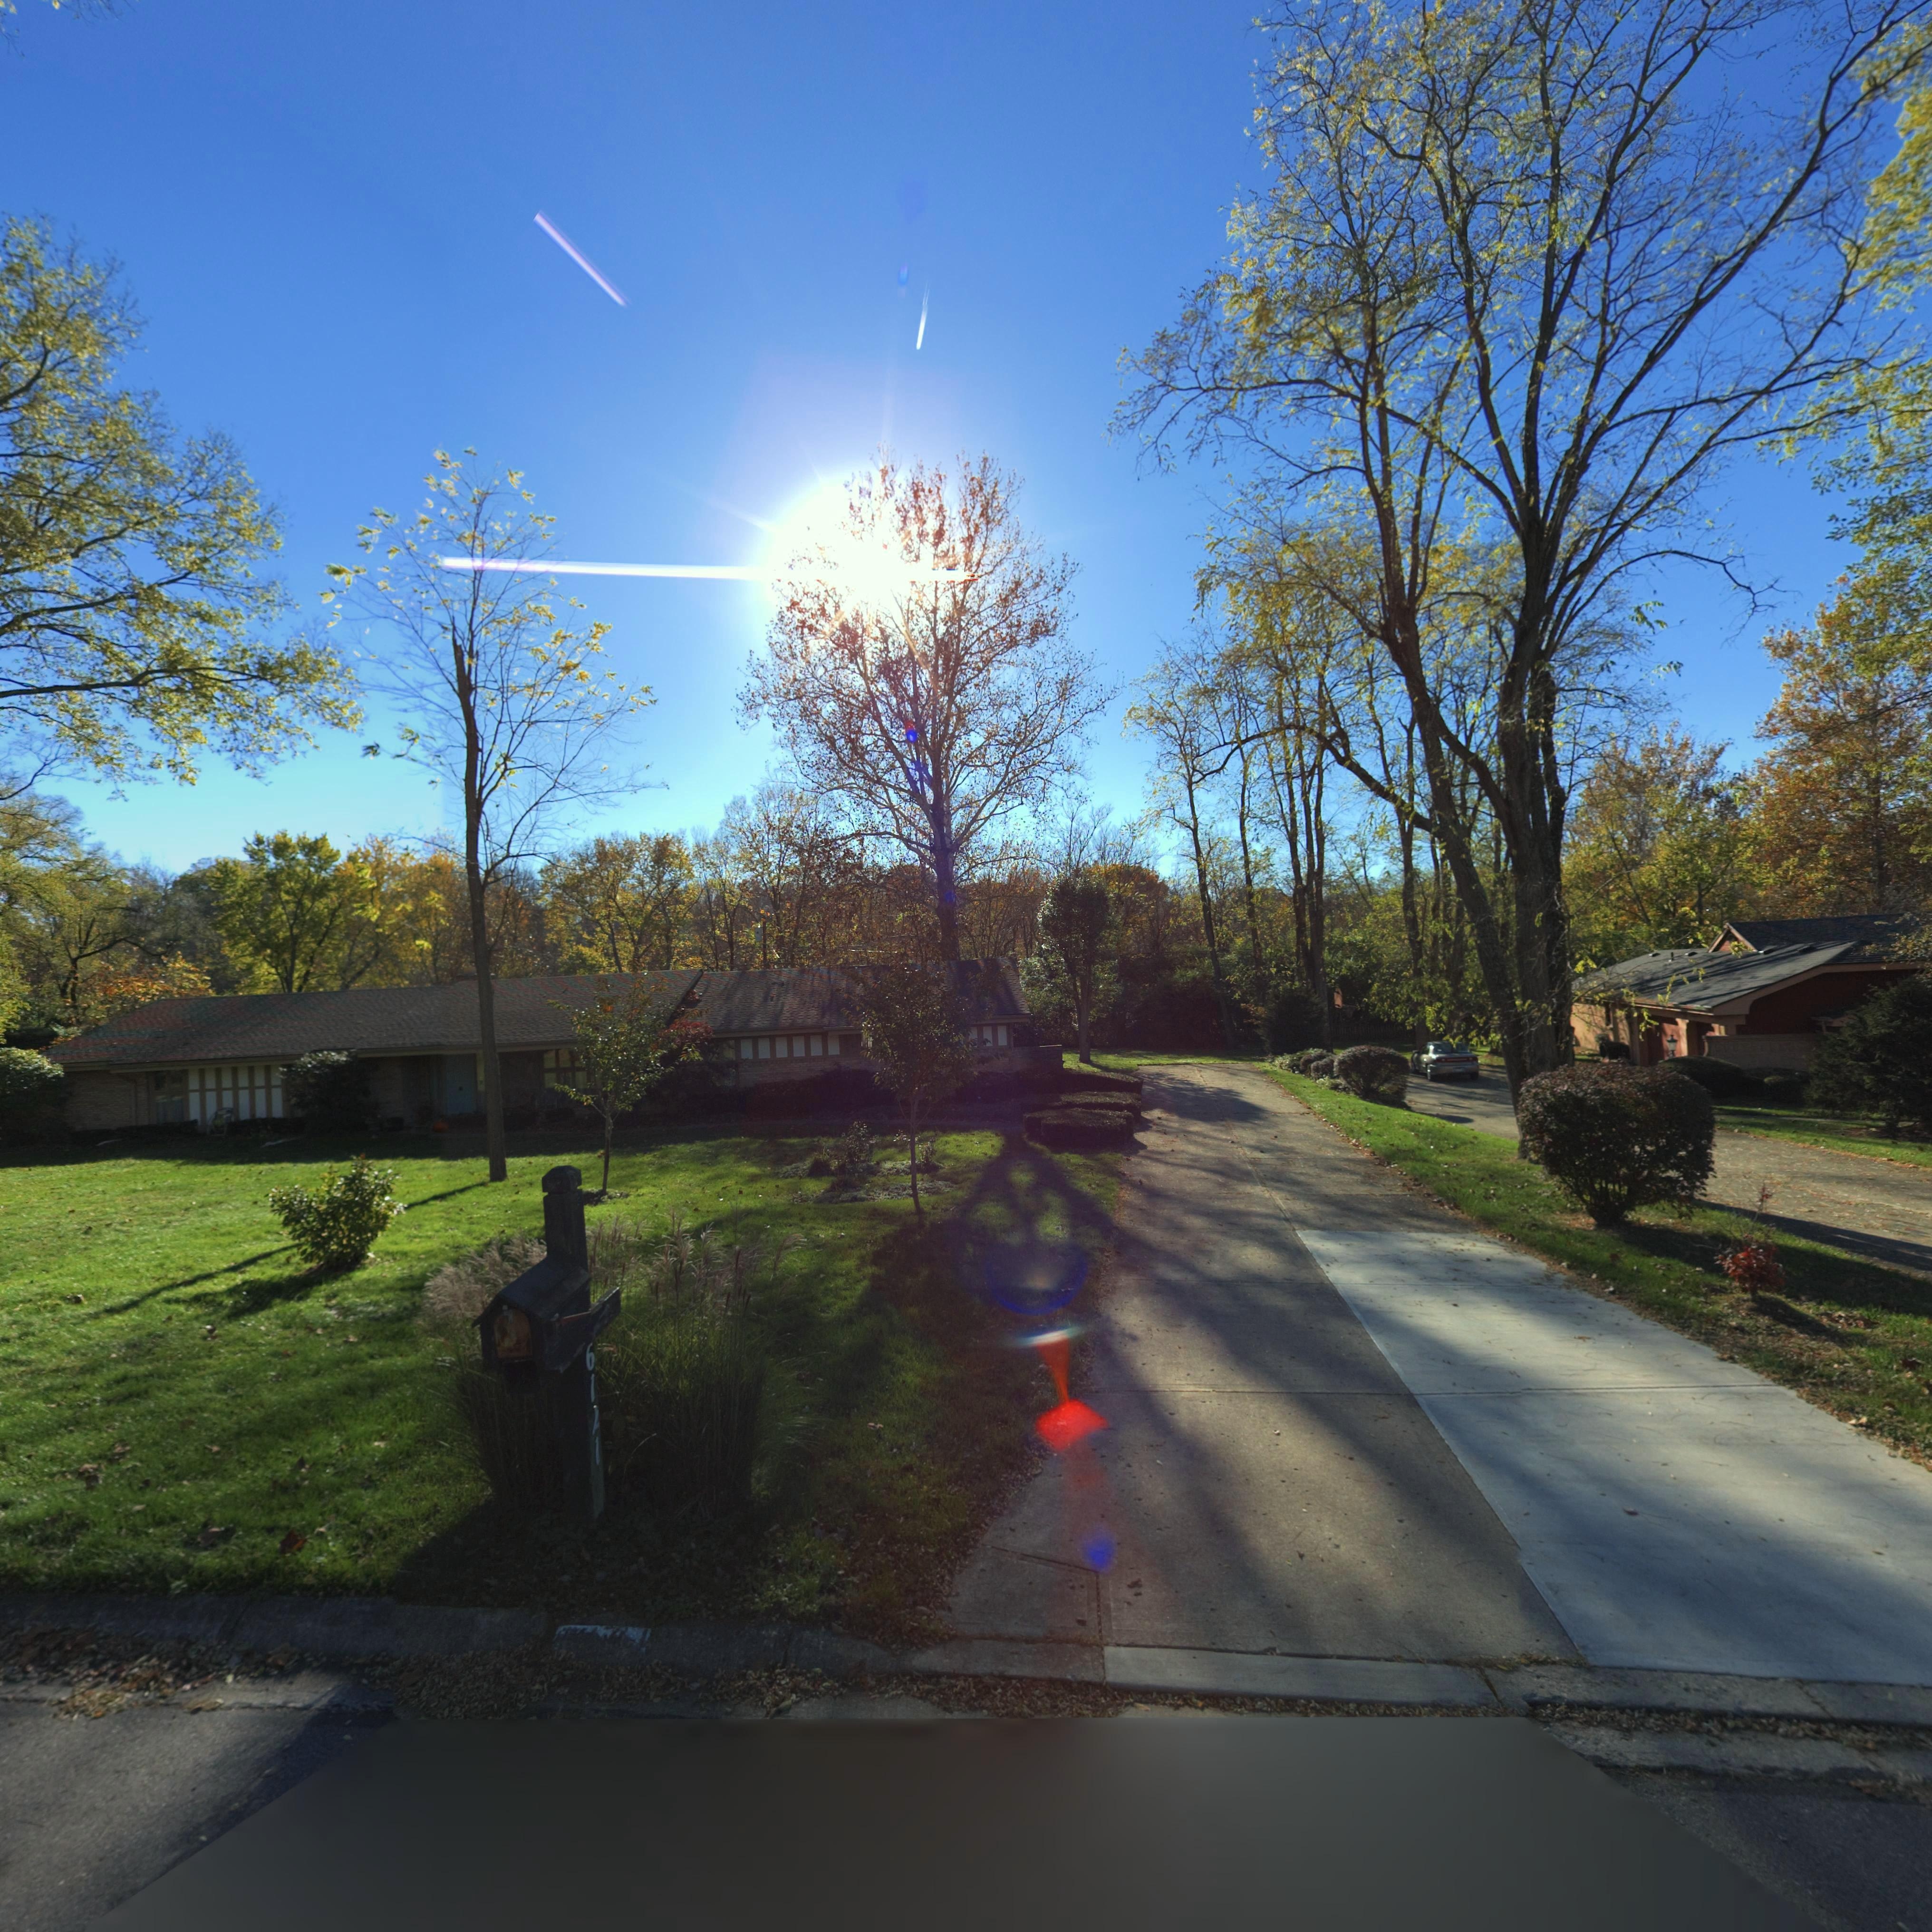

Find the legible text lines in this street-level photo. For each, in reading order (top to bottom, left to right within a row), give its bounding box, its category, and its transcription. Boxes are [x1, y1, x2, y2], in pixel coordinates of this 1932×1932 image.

[584, 1341, 603, 1467] StreetNumber: 6121